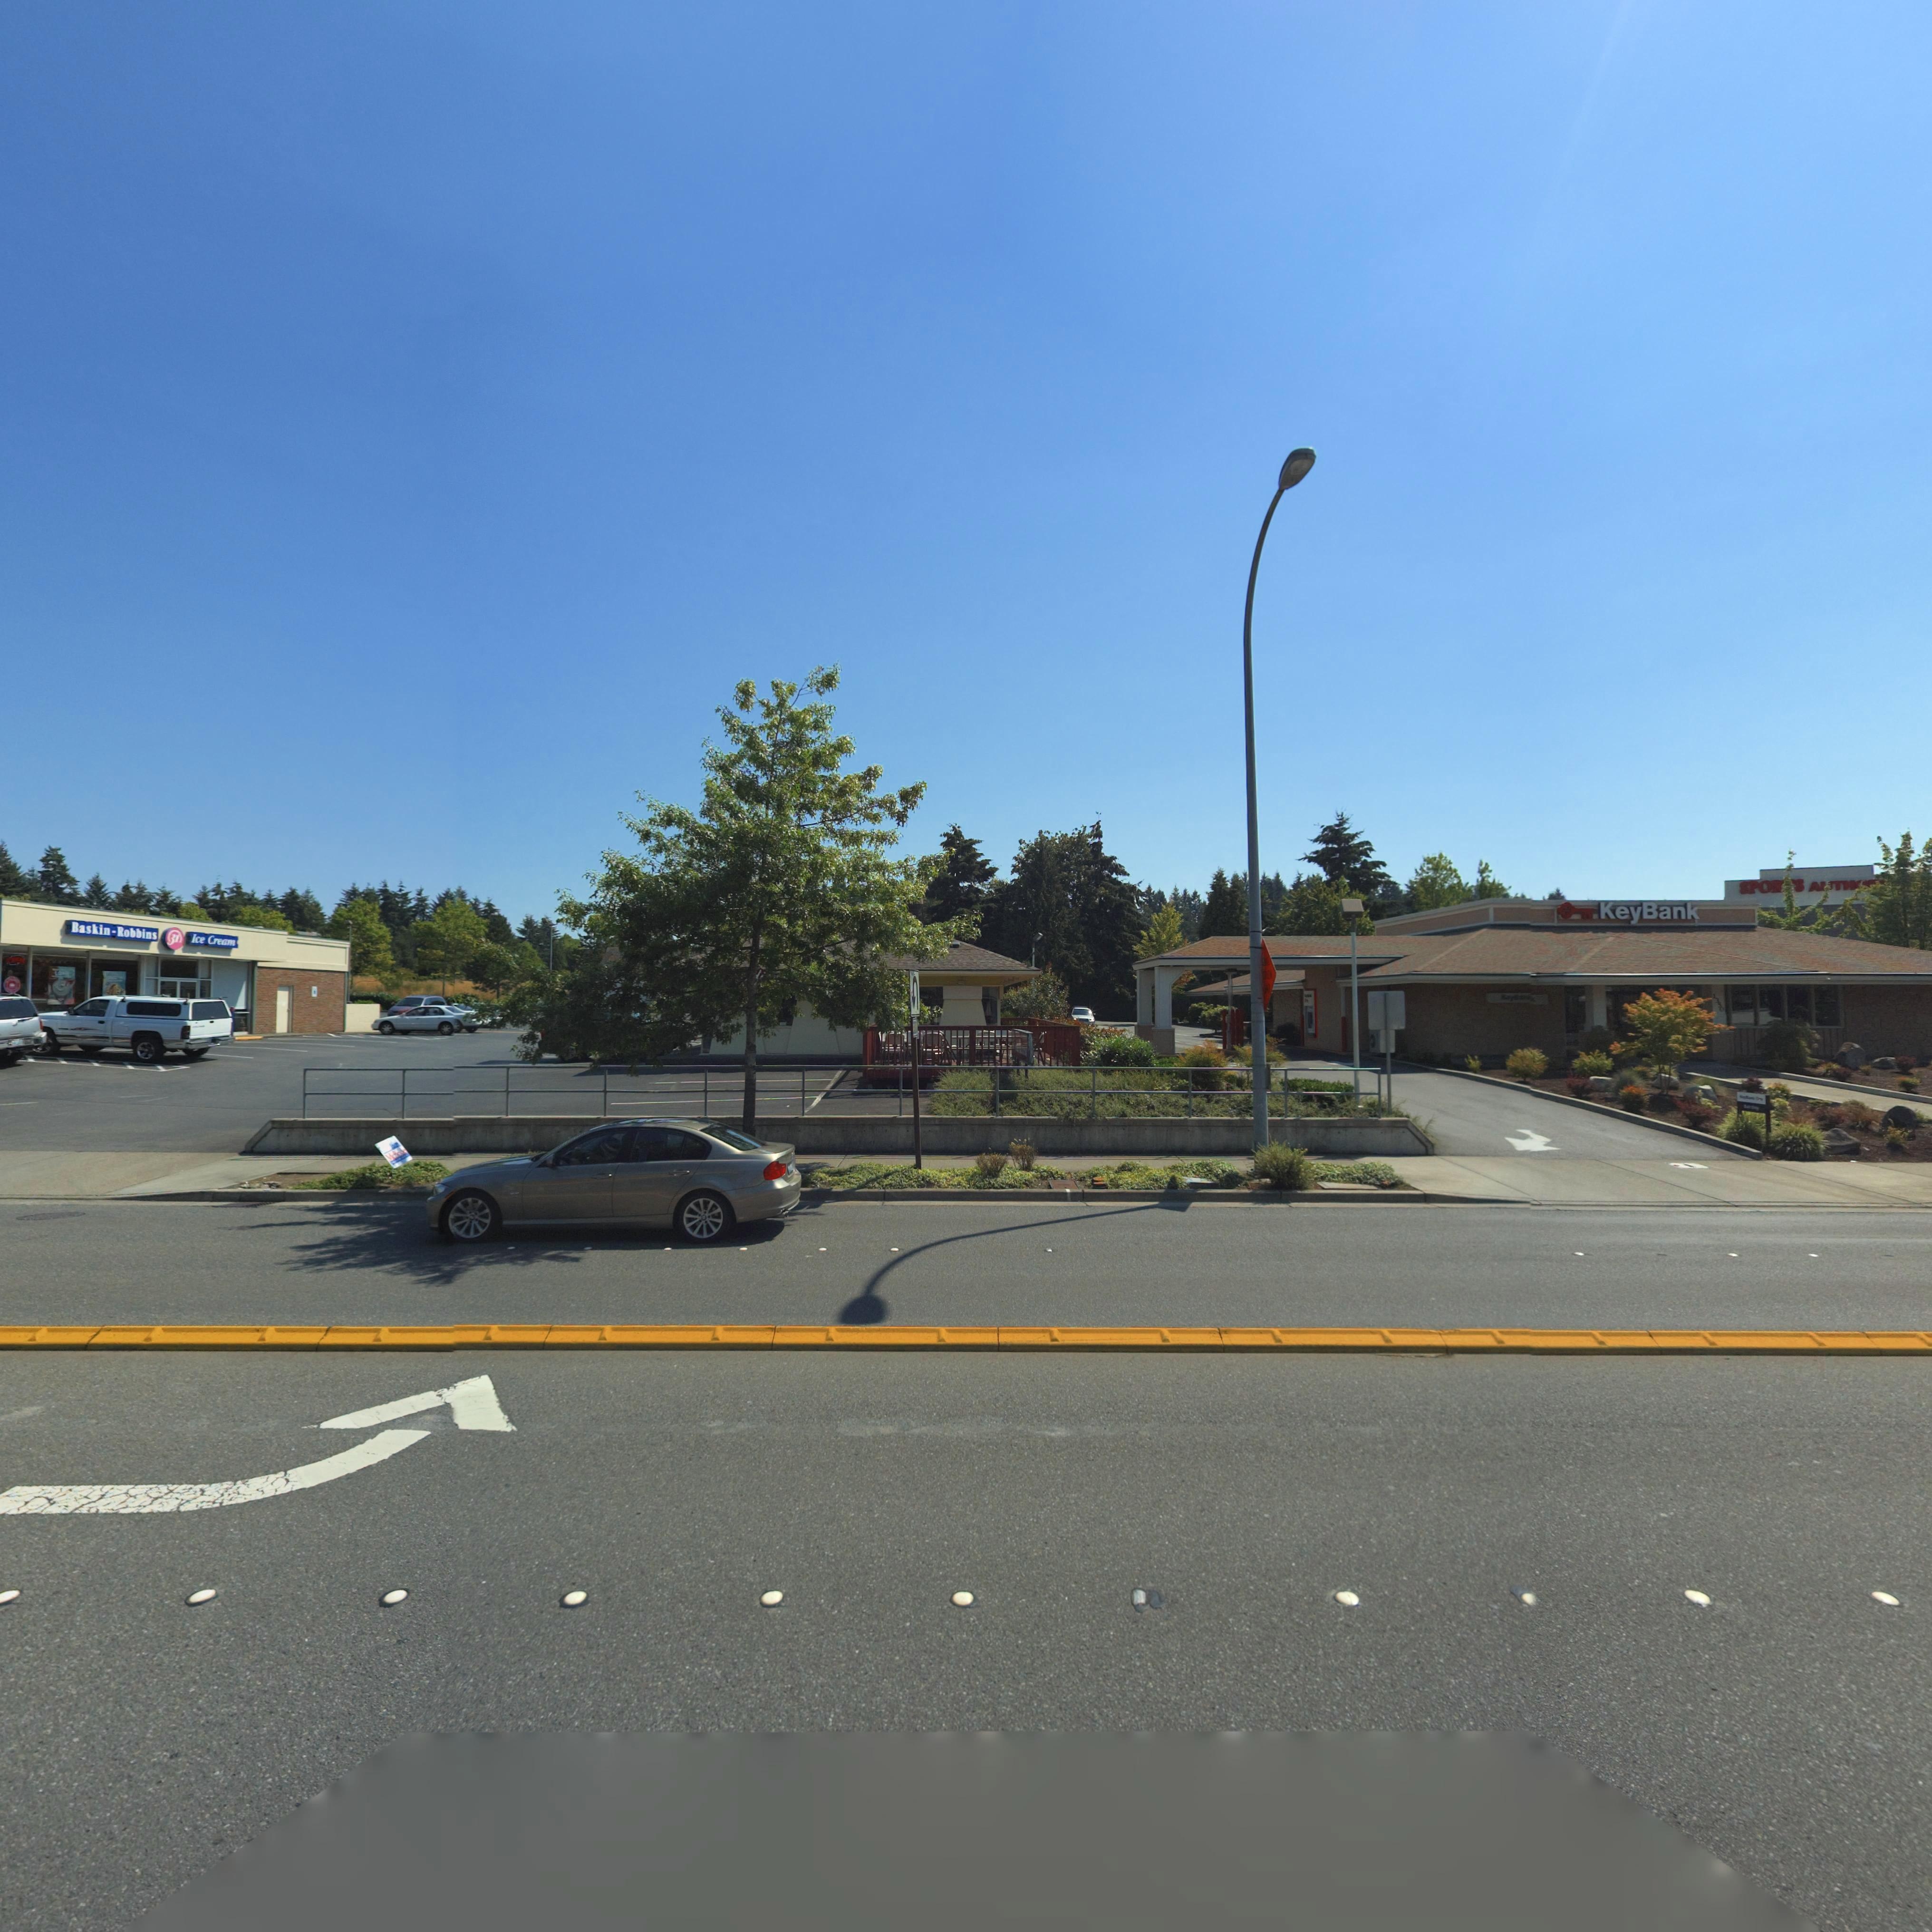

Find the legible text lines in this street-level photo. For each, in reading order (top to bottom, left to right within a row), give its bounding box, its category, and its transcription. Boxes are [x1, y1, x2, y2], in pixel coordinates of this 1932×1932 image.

[1600, 901, 1698, 924] BusinessName: KeyBank
[69, 920, 236, 947] BusinessName: Baskin-Robbins 31 Ice Cream